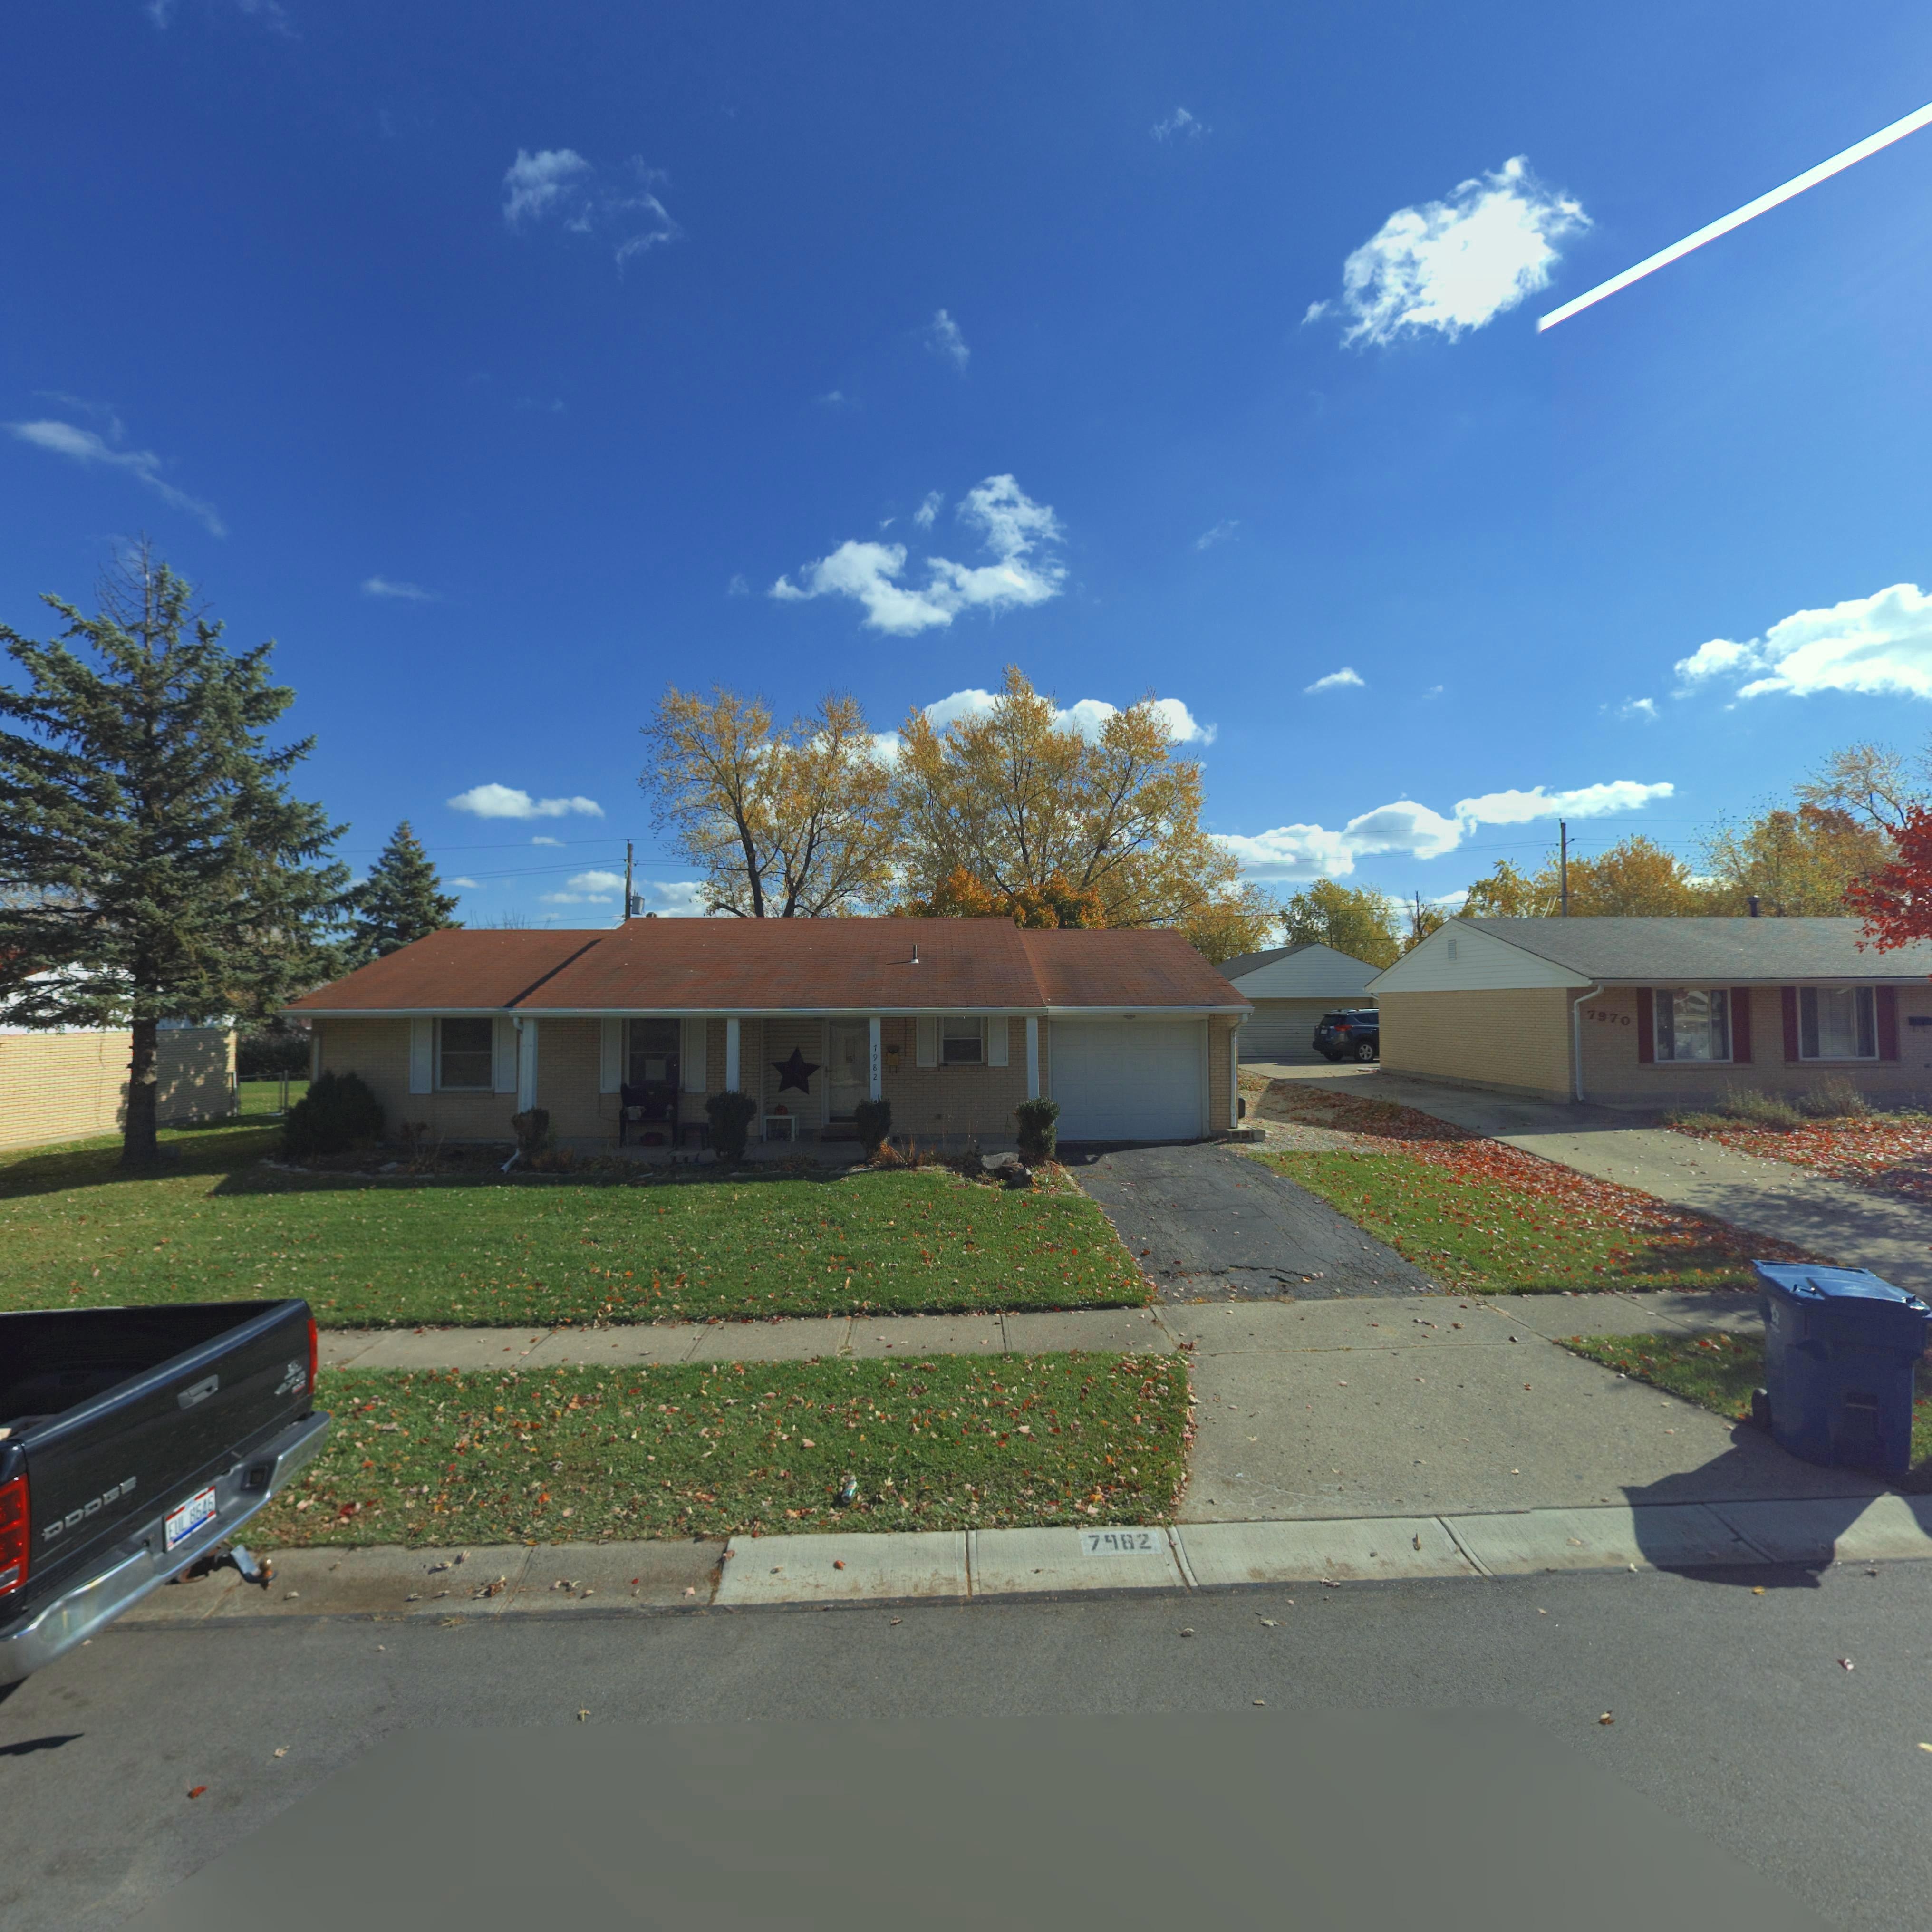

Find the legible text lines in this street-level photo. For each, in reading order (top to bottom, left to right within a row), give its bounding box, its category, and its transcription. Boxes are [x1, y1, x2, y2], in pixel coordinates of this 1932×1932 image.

[1585, 1008, 1632, 1027] StreetNumber: 7970
[871, 1043, 879, 1082] StreetNumber: 7982
[1085, 1531, 1154, 1553] StreetNumber: 7982